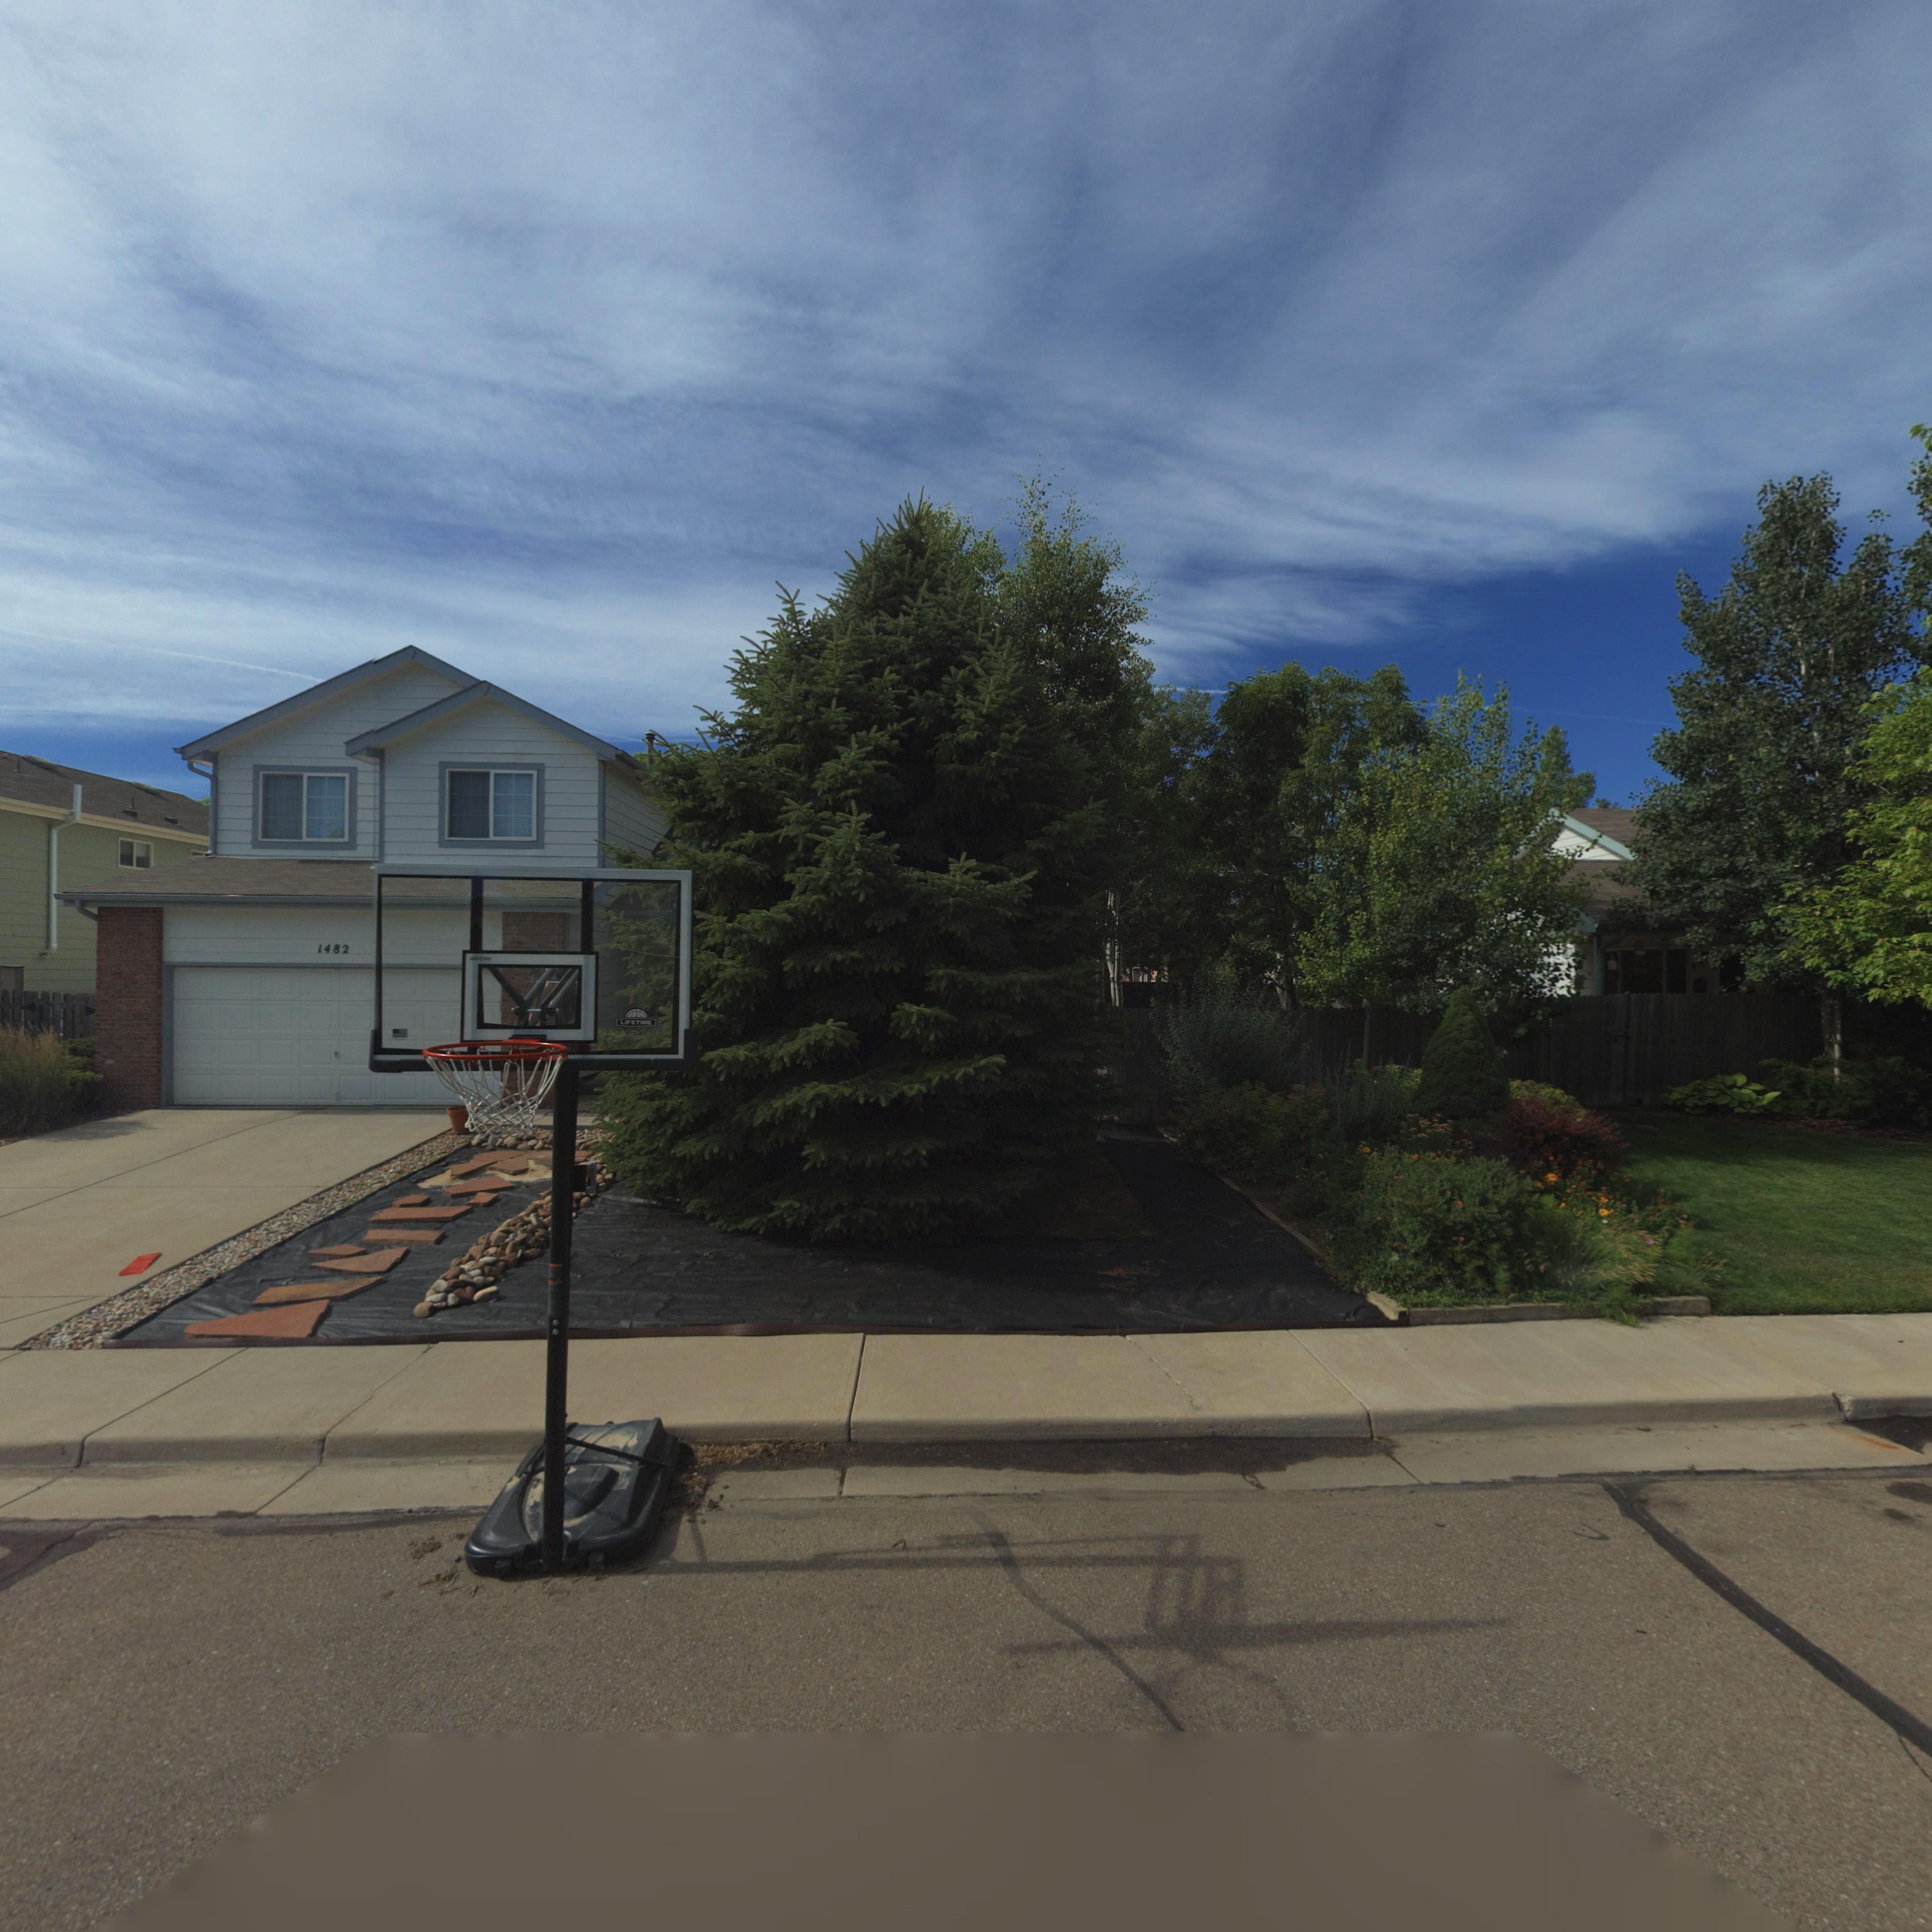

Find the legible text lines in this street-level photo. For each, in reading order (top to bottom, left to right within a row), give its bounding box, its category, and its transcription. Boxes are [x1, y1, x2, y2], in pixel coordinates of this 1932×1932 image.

[317, 943, 349, 954] StreetNumber: 1482